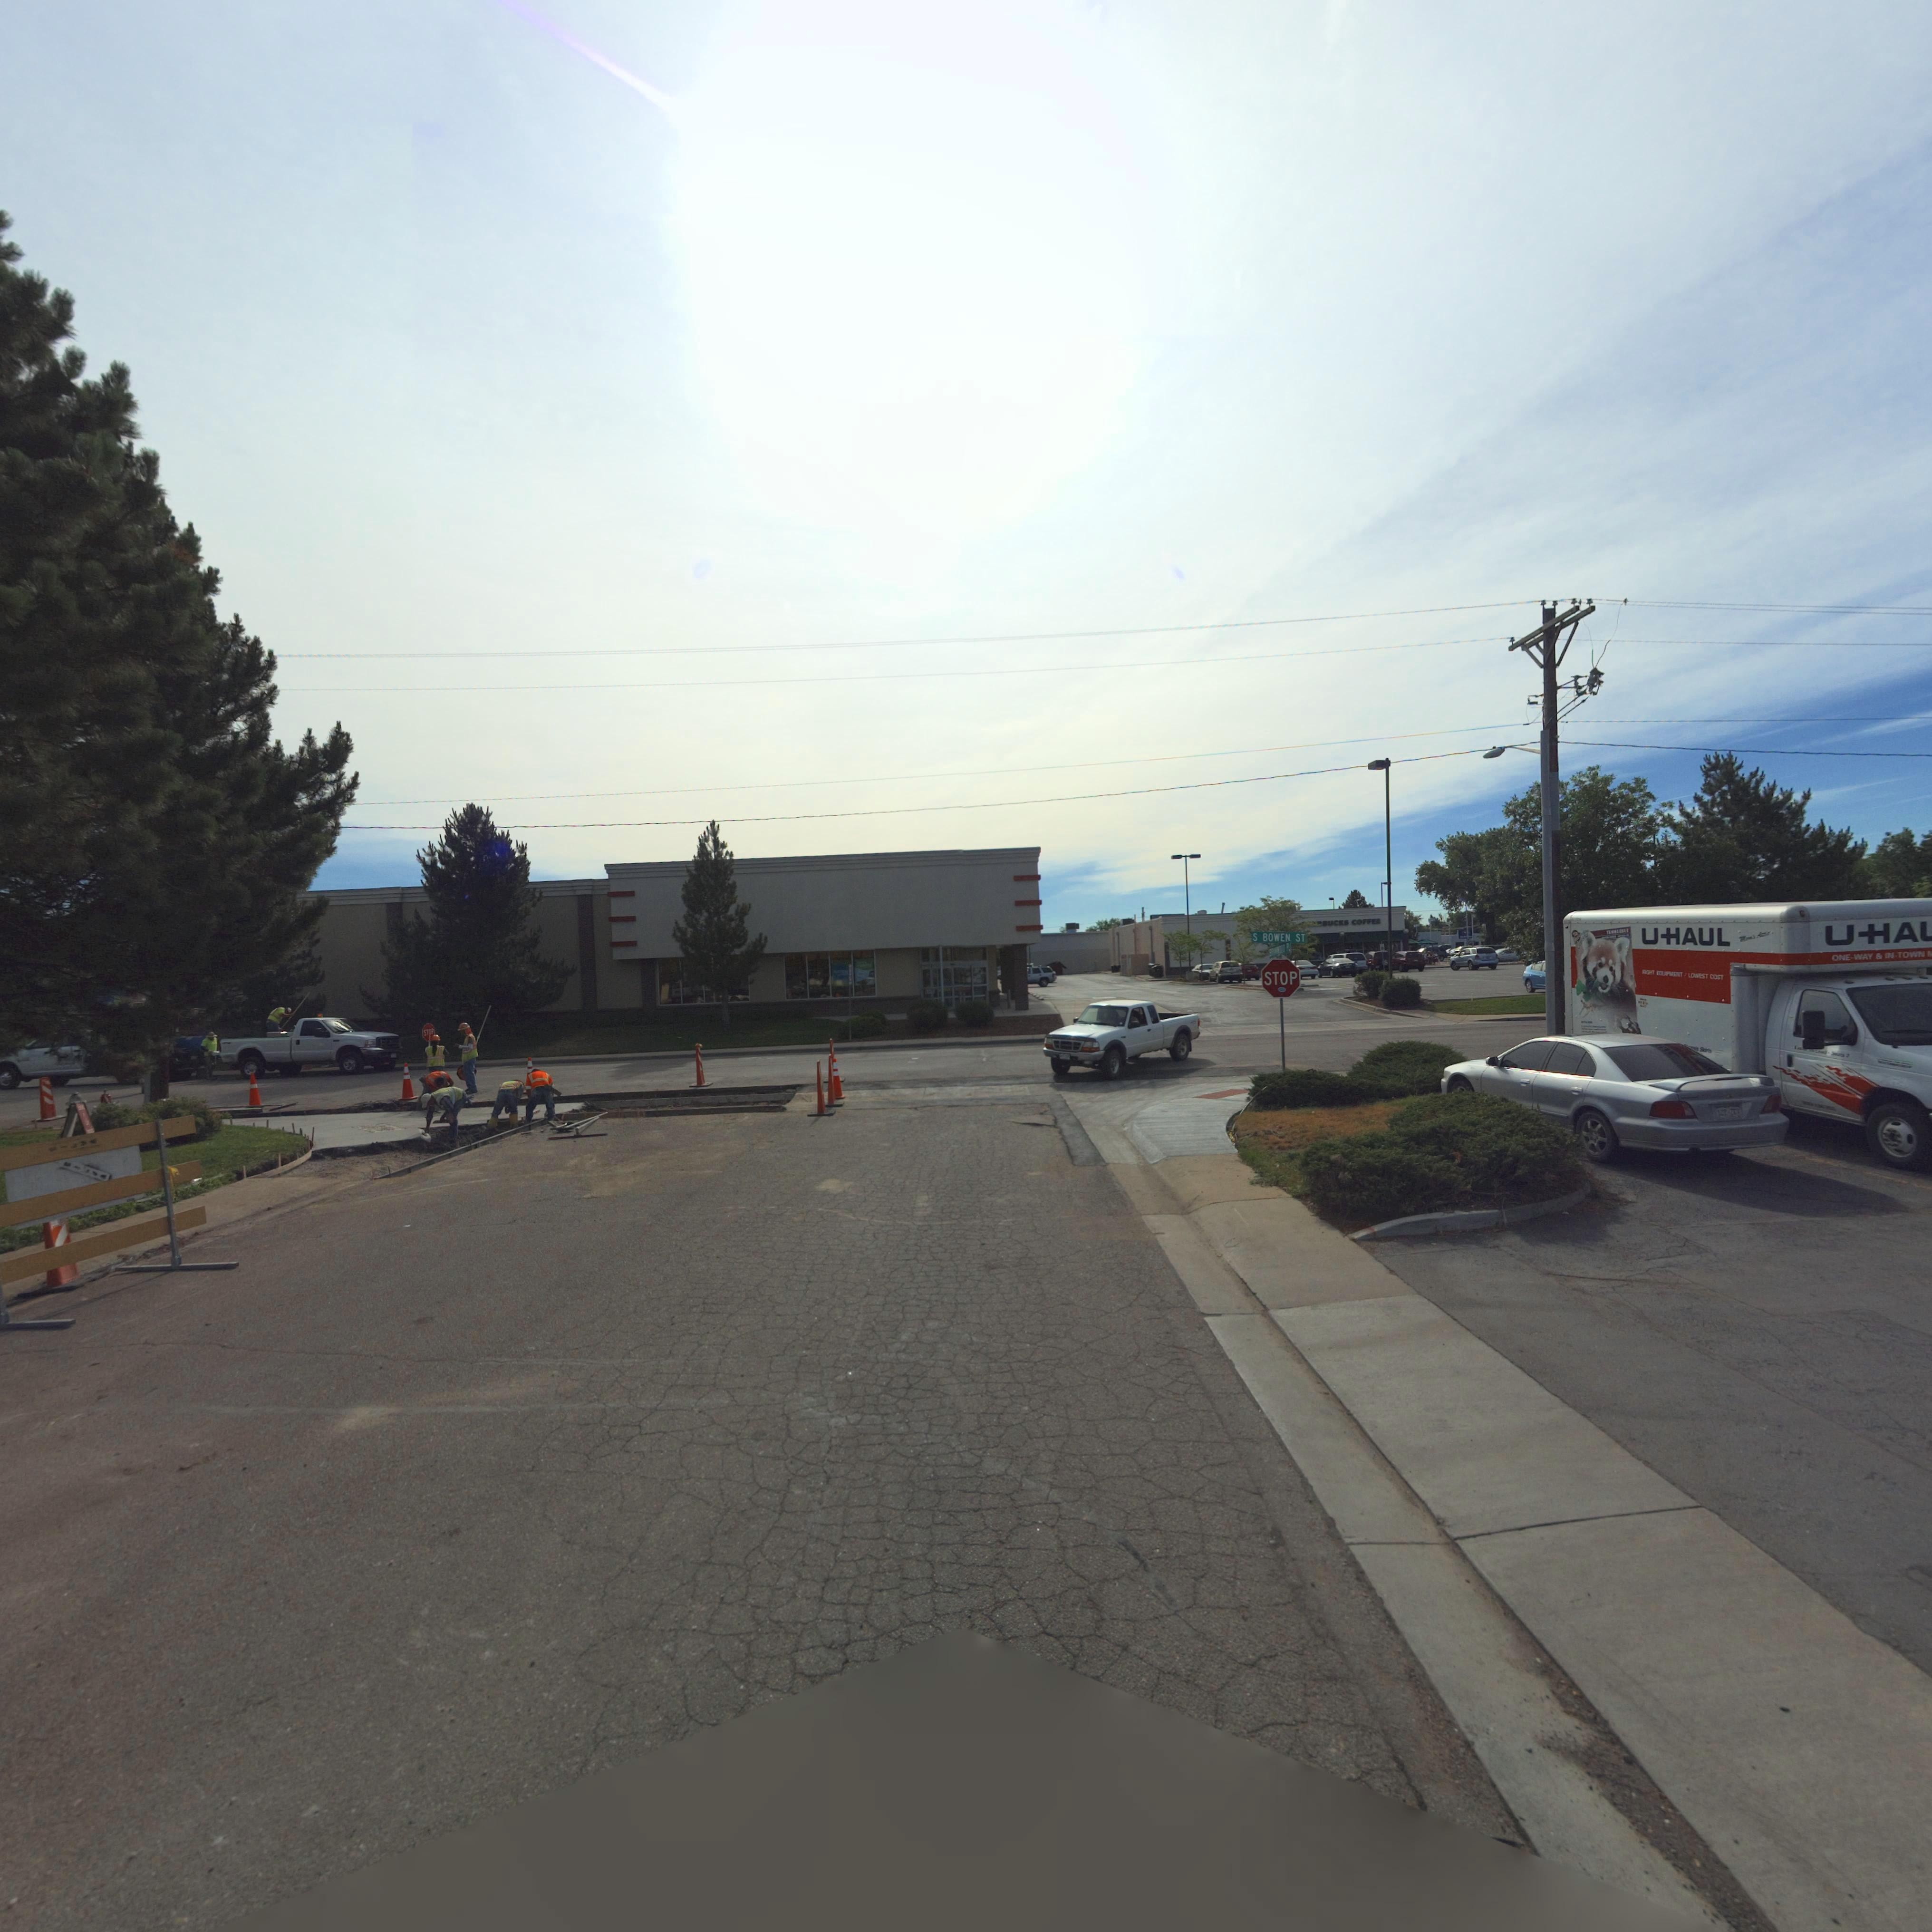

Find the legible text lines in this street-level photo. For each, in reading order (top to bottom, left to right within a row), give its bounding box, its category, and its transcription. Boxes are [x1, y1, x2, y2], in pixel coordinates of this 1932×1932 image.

[1317, 918, 1381, 926] BusinessName: *BUCKS COFFEE
[1253, 933, 1305, 942] StreetName: S BOWEN ST
[1642, 927, 1730, 946] BusinessName: U+IAUL
[1269, 942, 1291, 956] StreetName: *****OO* PL